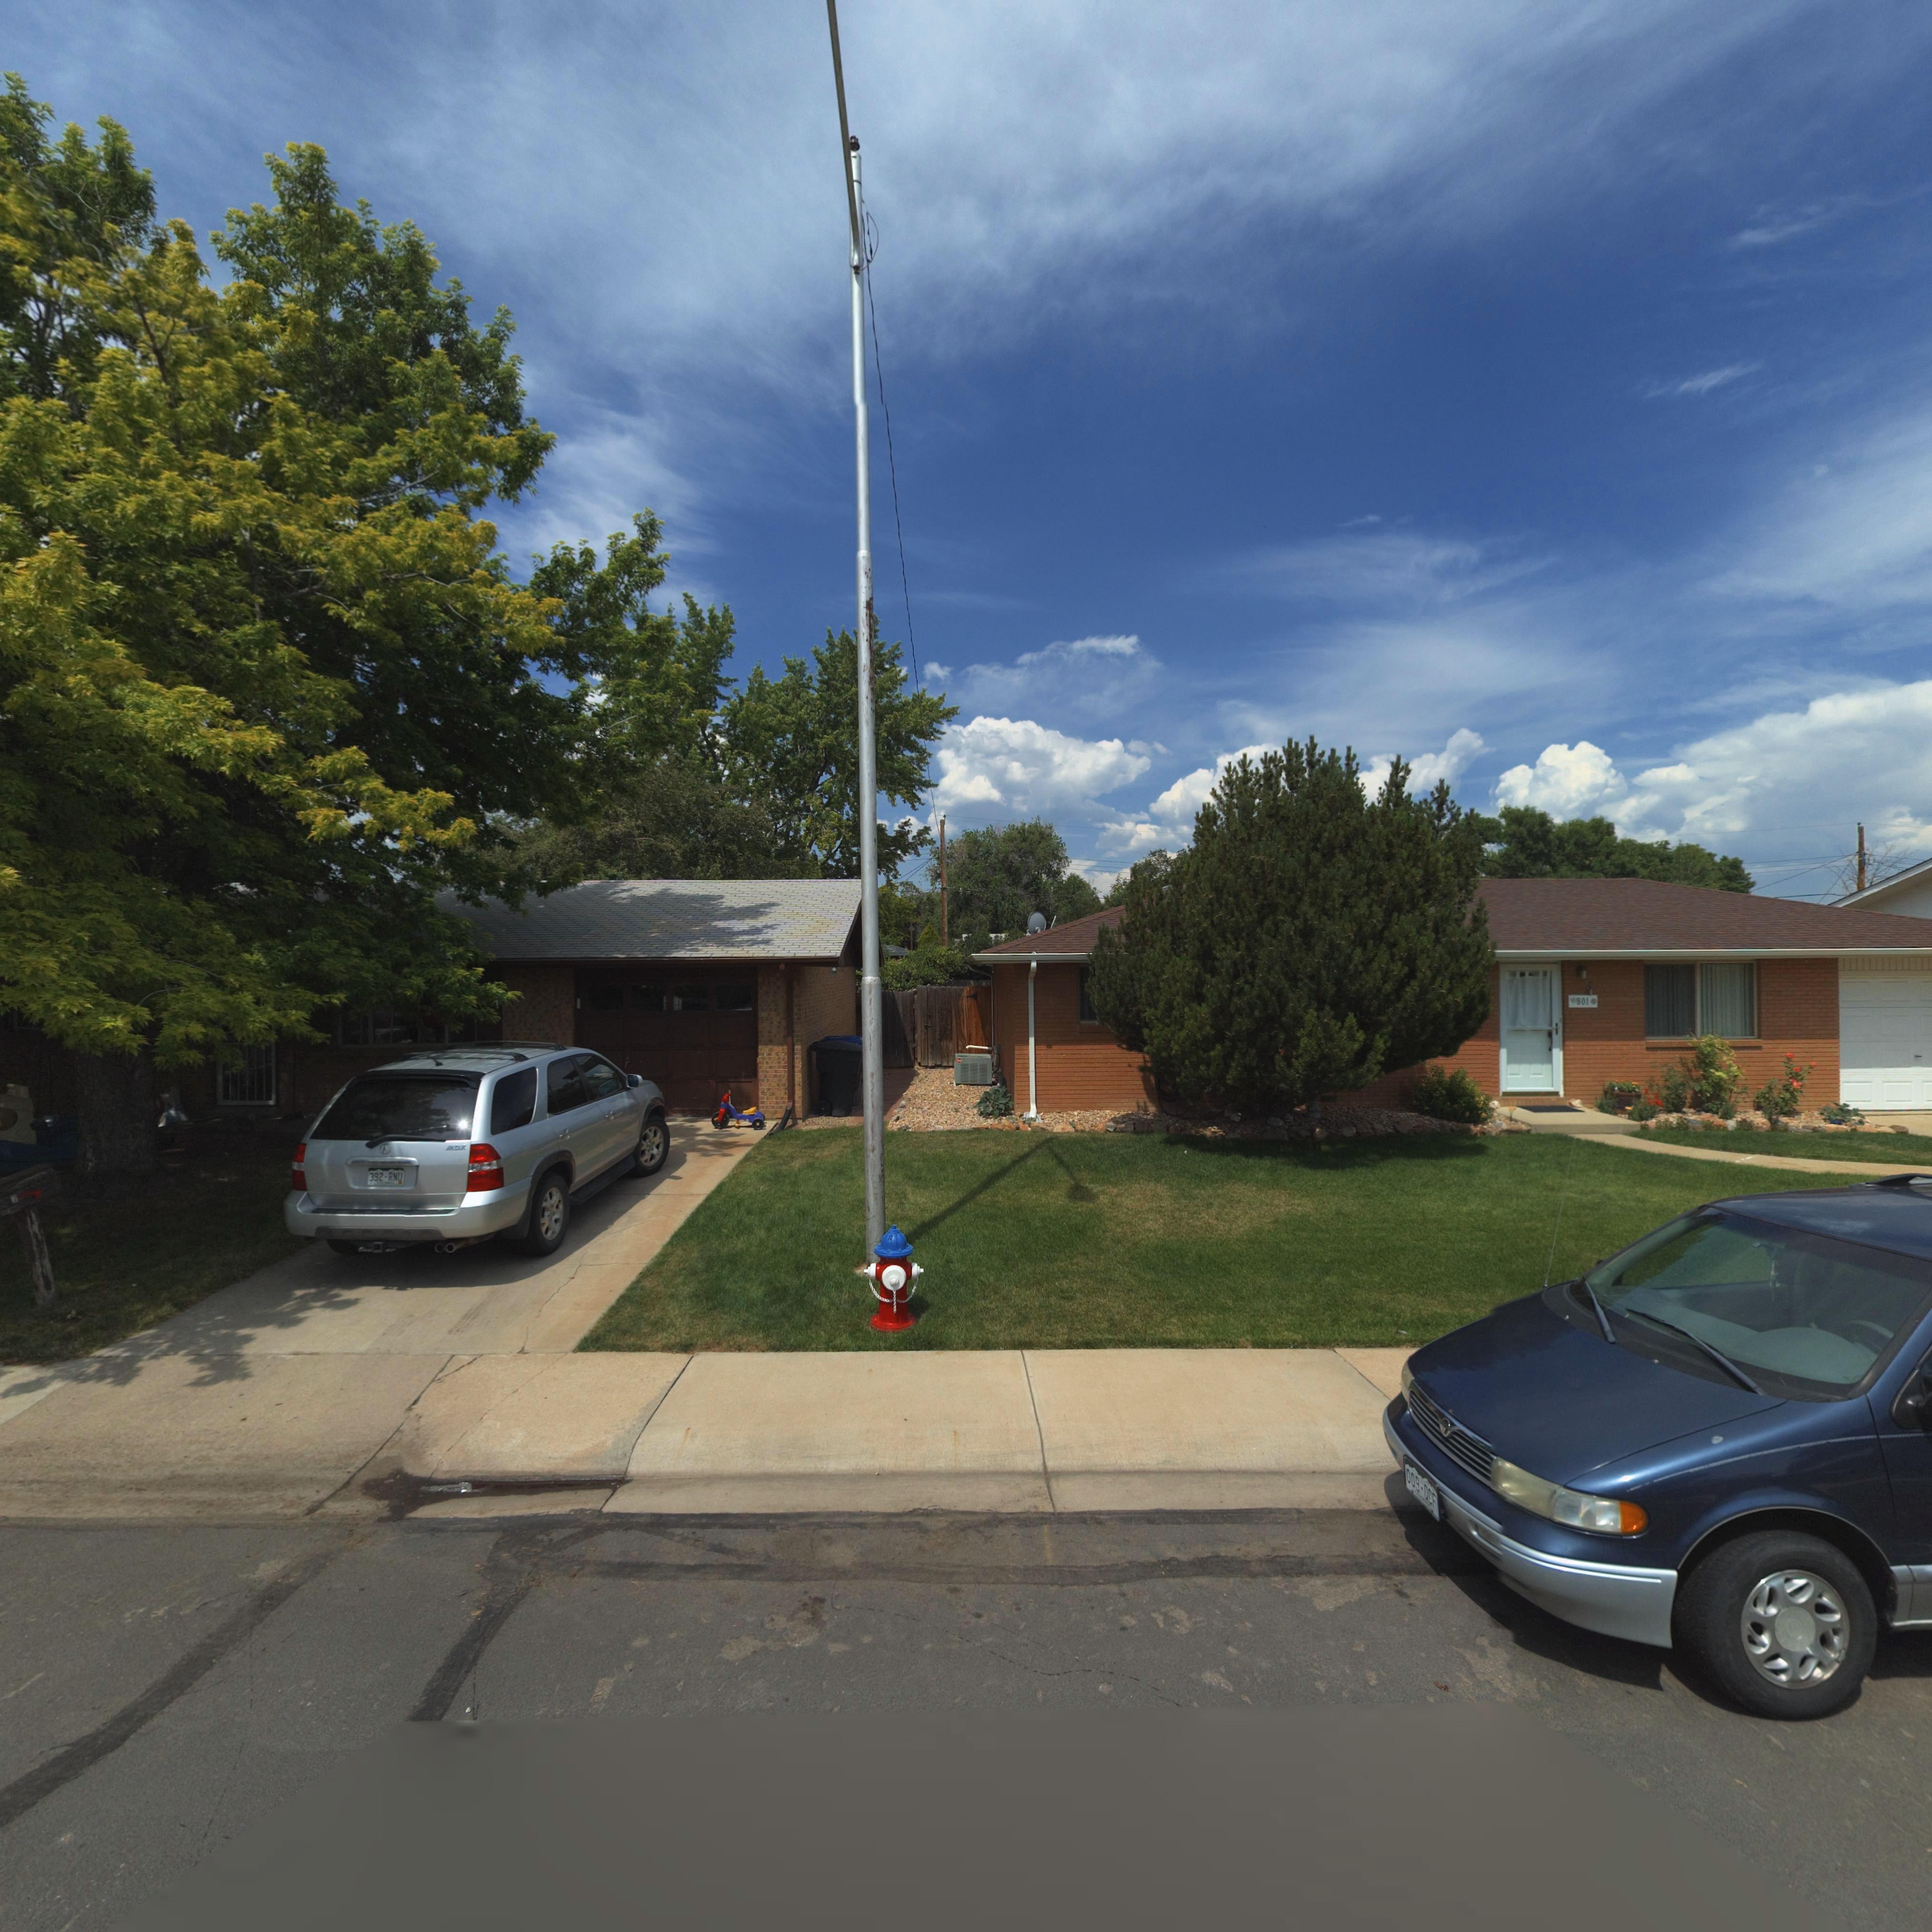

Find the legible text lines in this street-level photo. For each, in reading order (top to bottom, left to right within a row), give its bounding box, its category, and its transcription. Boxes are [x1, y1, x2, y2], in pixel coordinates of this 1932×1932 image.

[1576, 997, 1588, 1005] StreetNumber: 801